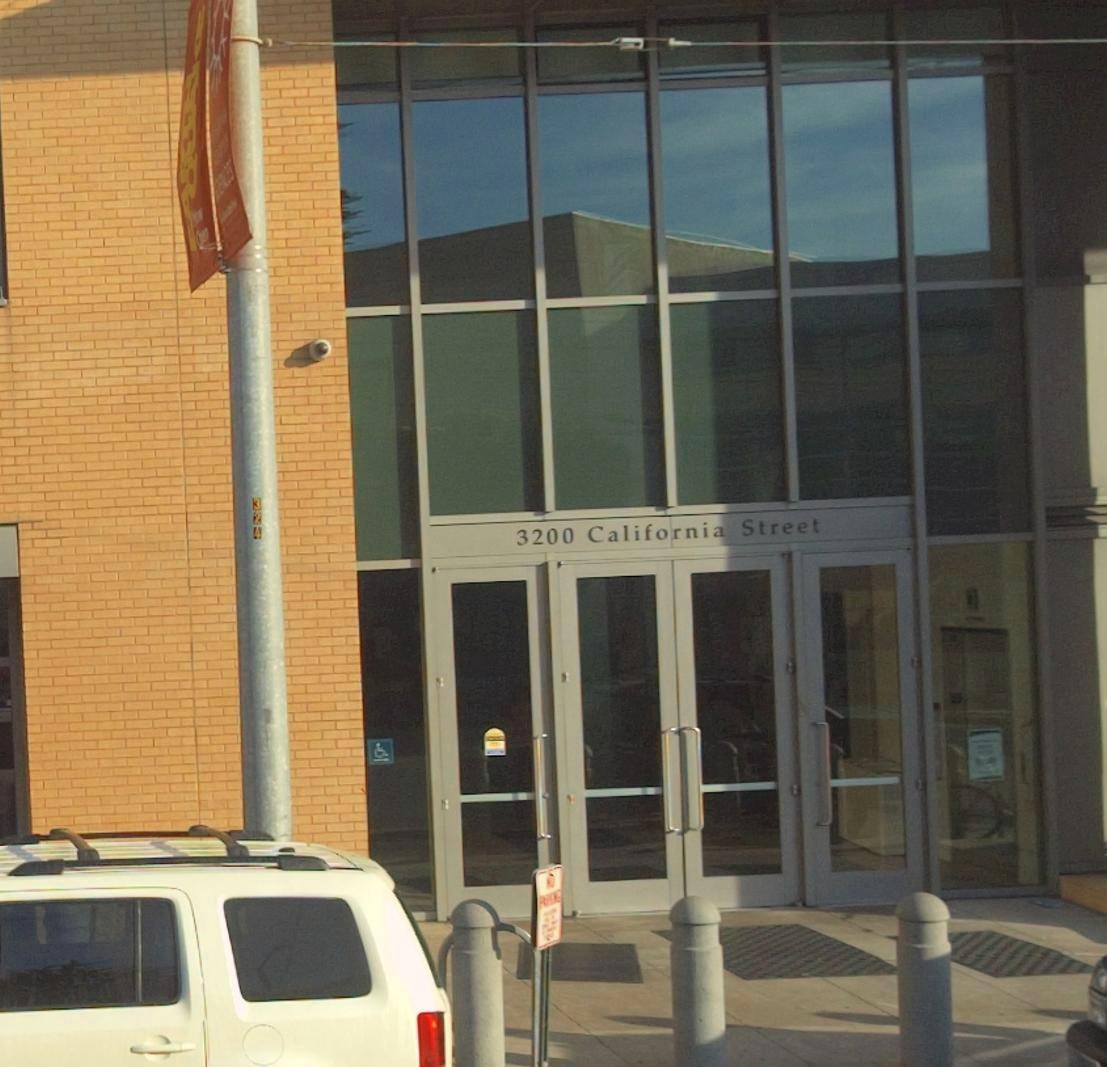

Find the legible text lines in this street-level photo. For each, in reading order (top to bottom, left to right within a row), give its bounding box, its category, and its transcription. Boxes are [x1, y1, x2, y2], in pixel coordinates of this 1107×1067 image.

[251, 496, 263, 541] None: 324
[514, 525, 576, 548] StreetNumber: 3200
[585, 515, 824, 546] StreetName: California Street